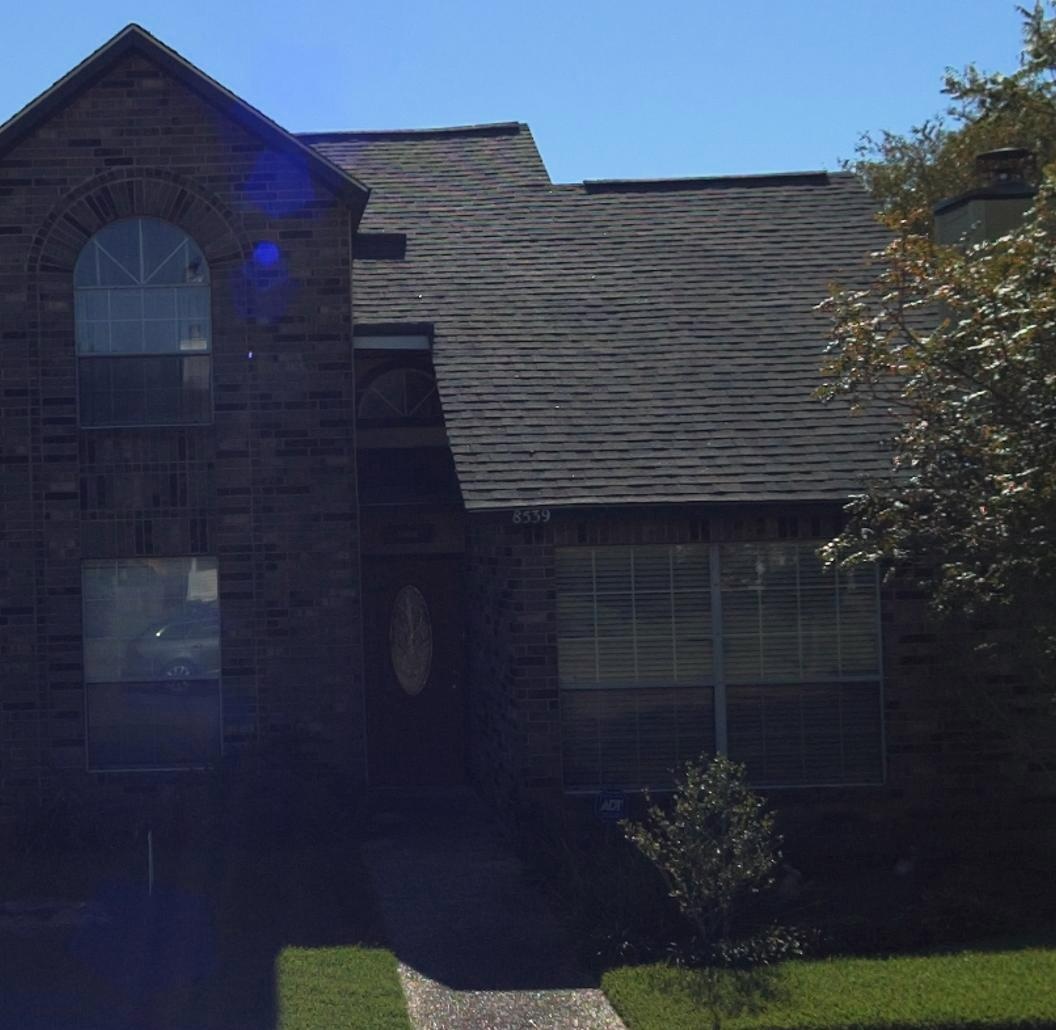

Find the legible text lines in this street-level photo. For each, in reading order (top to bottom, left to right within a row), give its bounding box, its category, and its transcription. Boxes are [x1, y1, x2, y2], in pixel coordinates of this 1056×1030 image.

[512, 509, 551, 524] StreetNumber: 8539
[598, 798, 623, 812] None: ADT